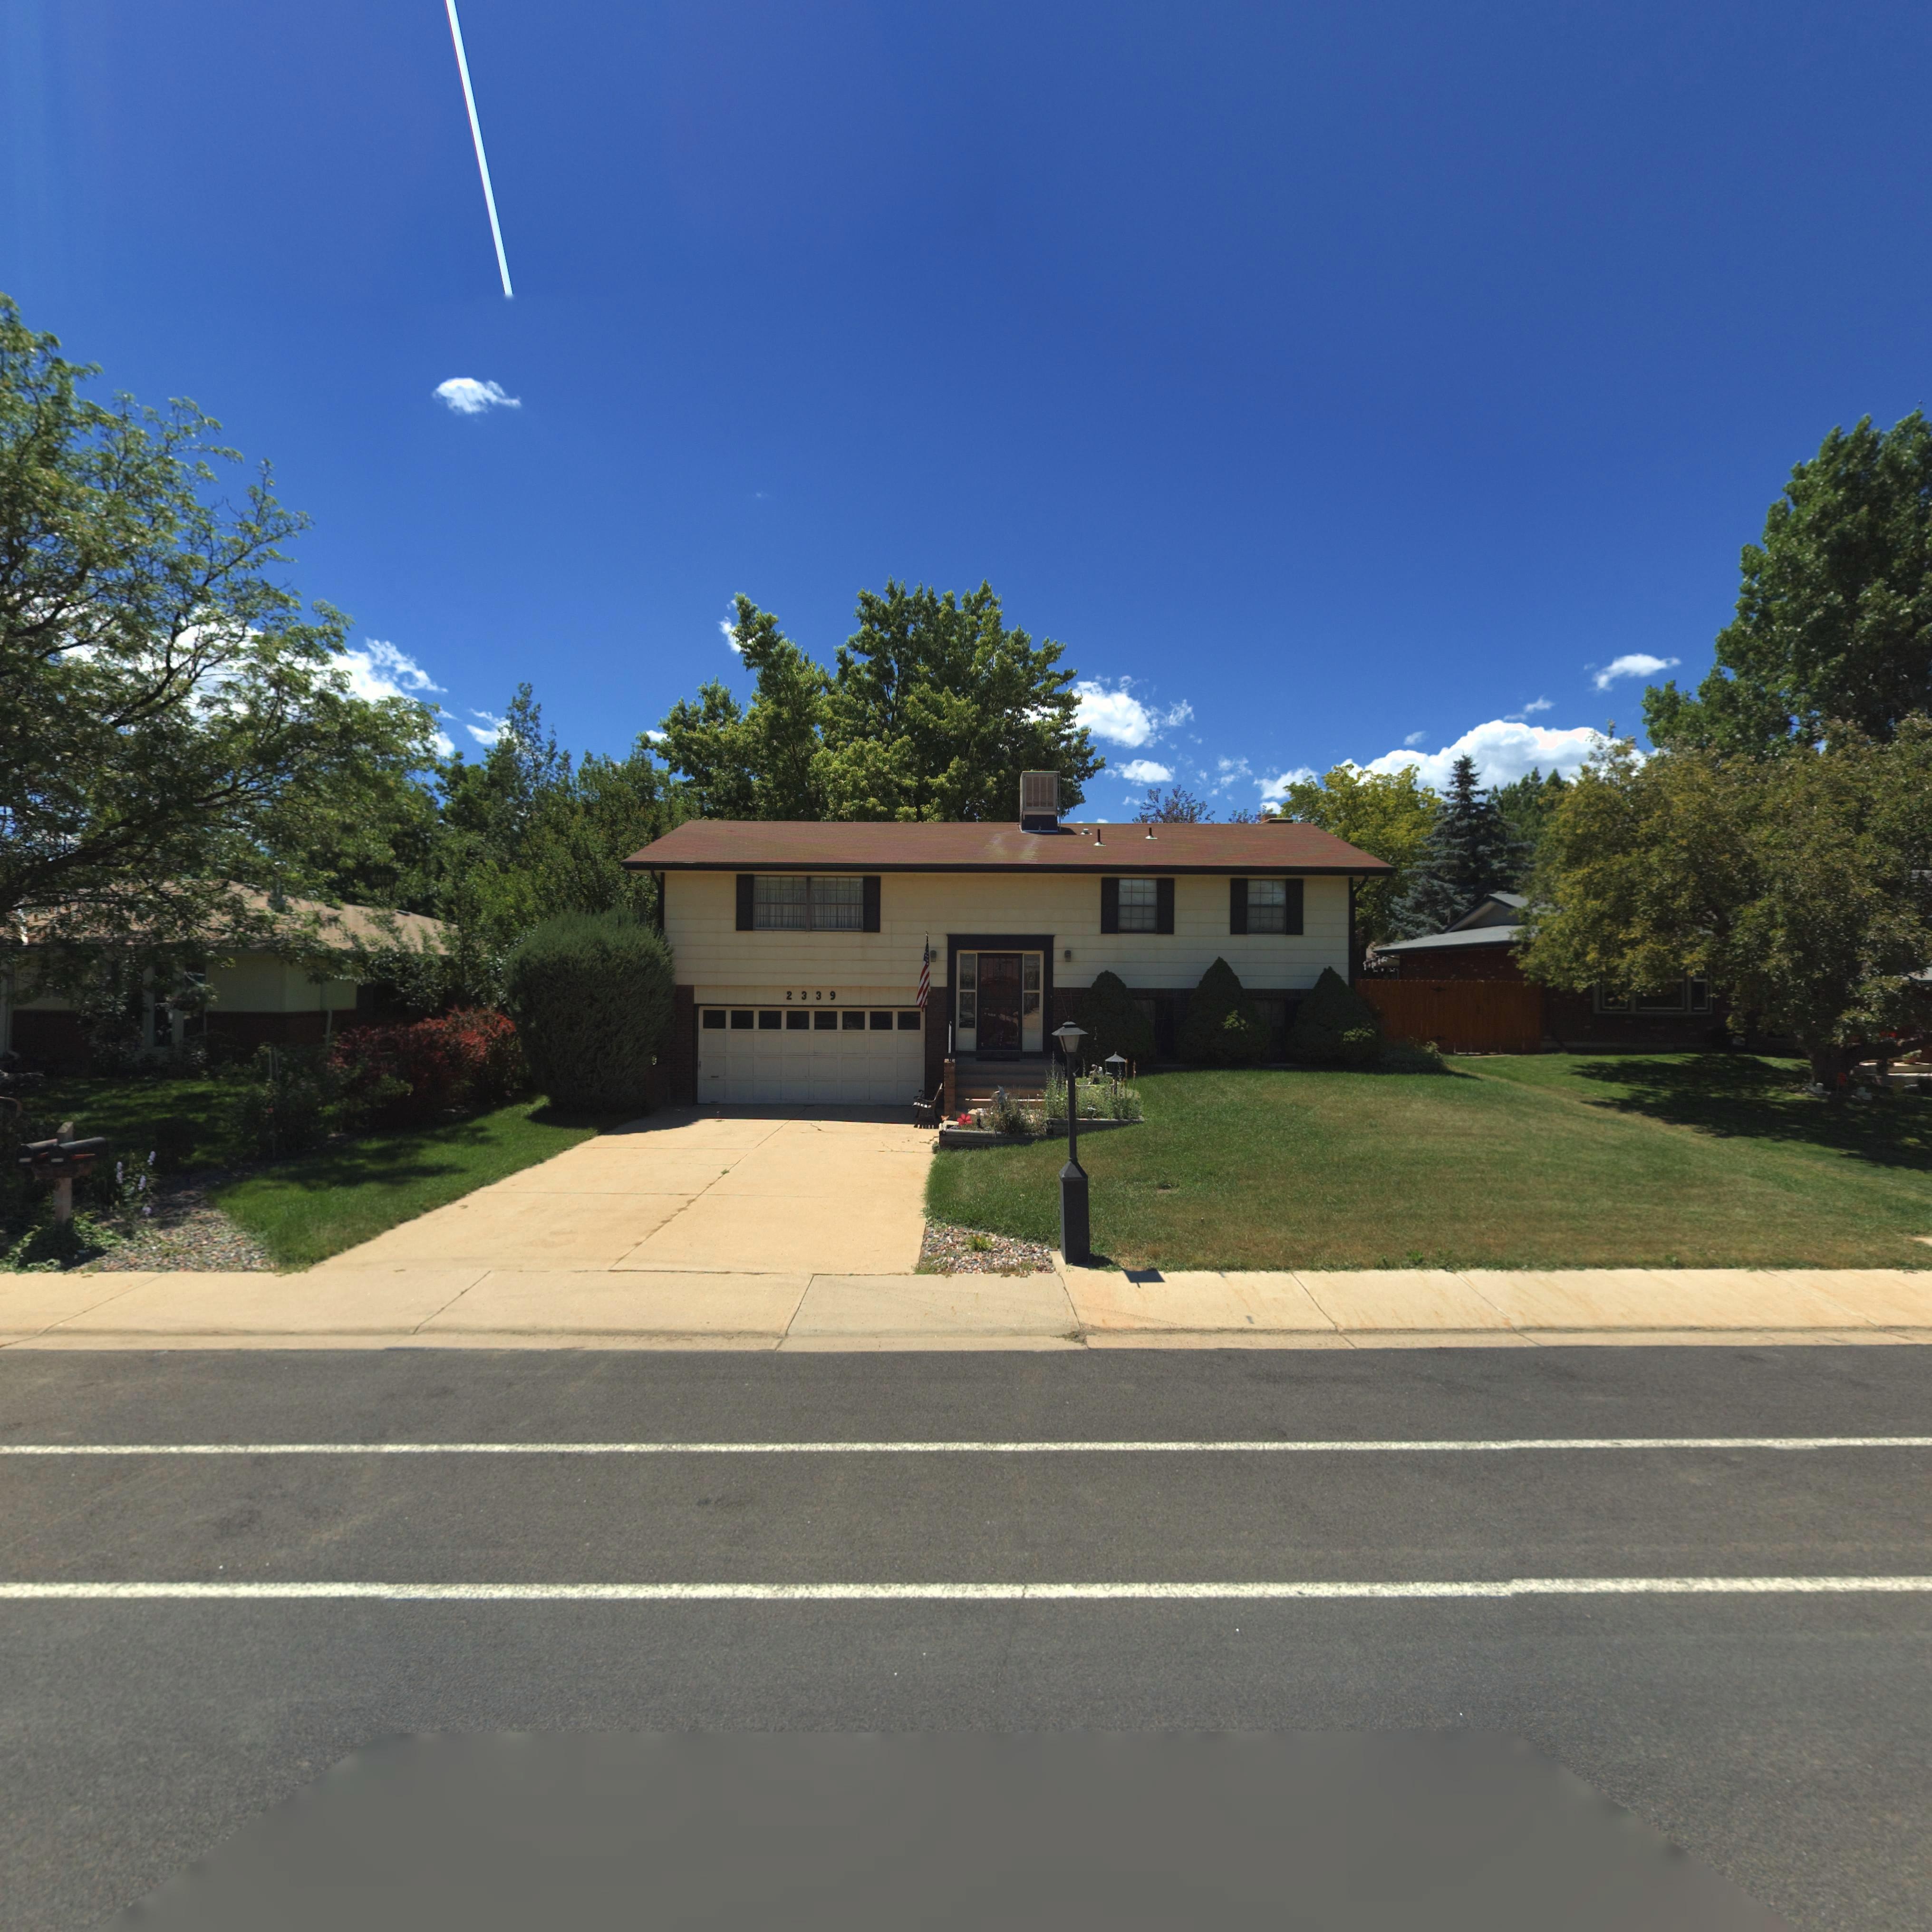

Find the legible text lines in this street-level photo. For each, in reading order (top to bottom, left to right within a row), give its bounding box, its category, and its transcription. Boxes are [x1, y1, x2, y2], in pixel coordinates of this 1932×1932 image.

[786, 990, 836, 1000] StreetNumber: 2339